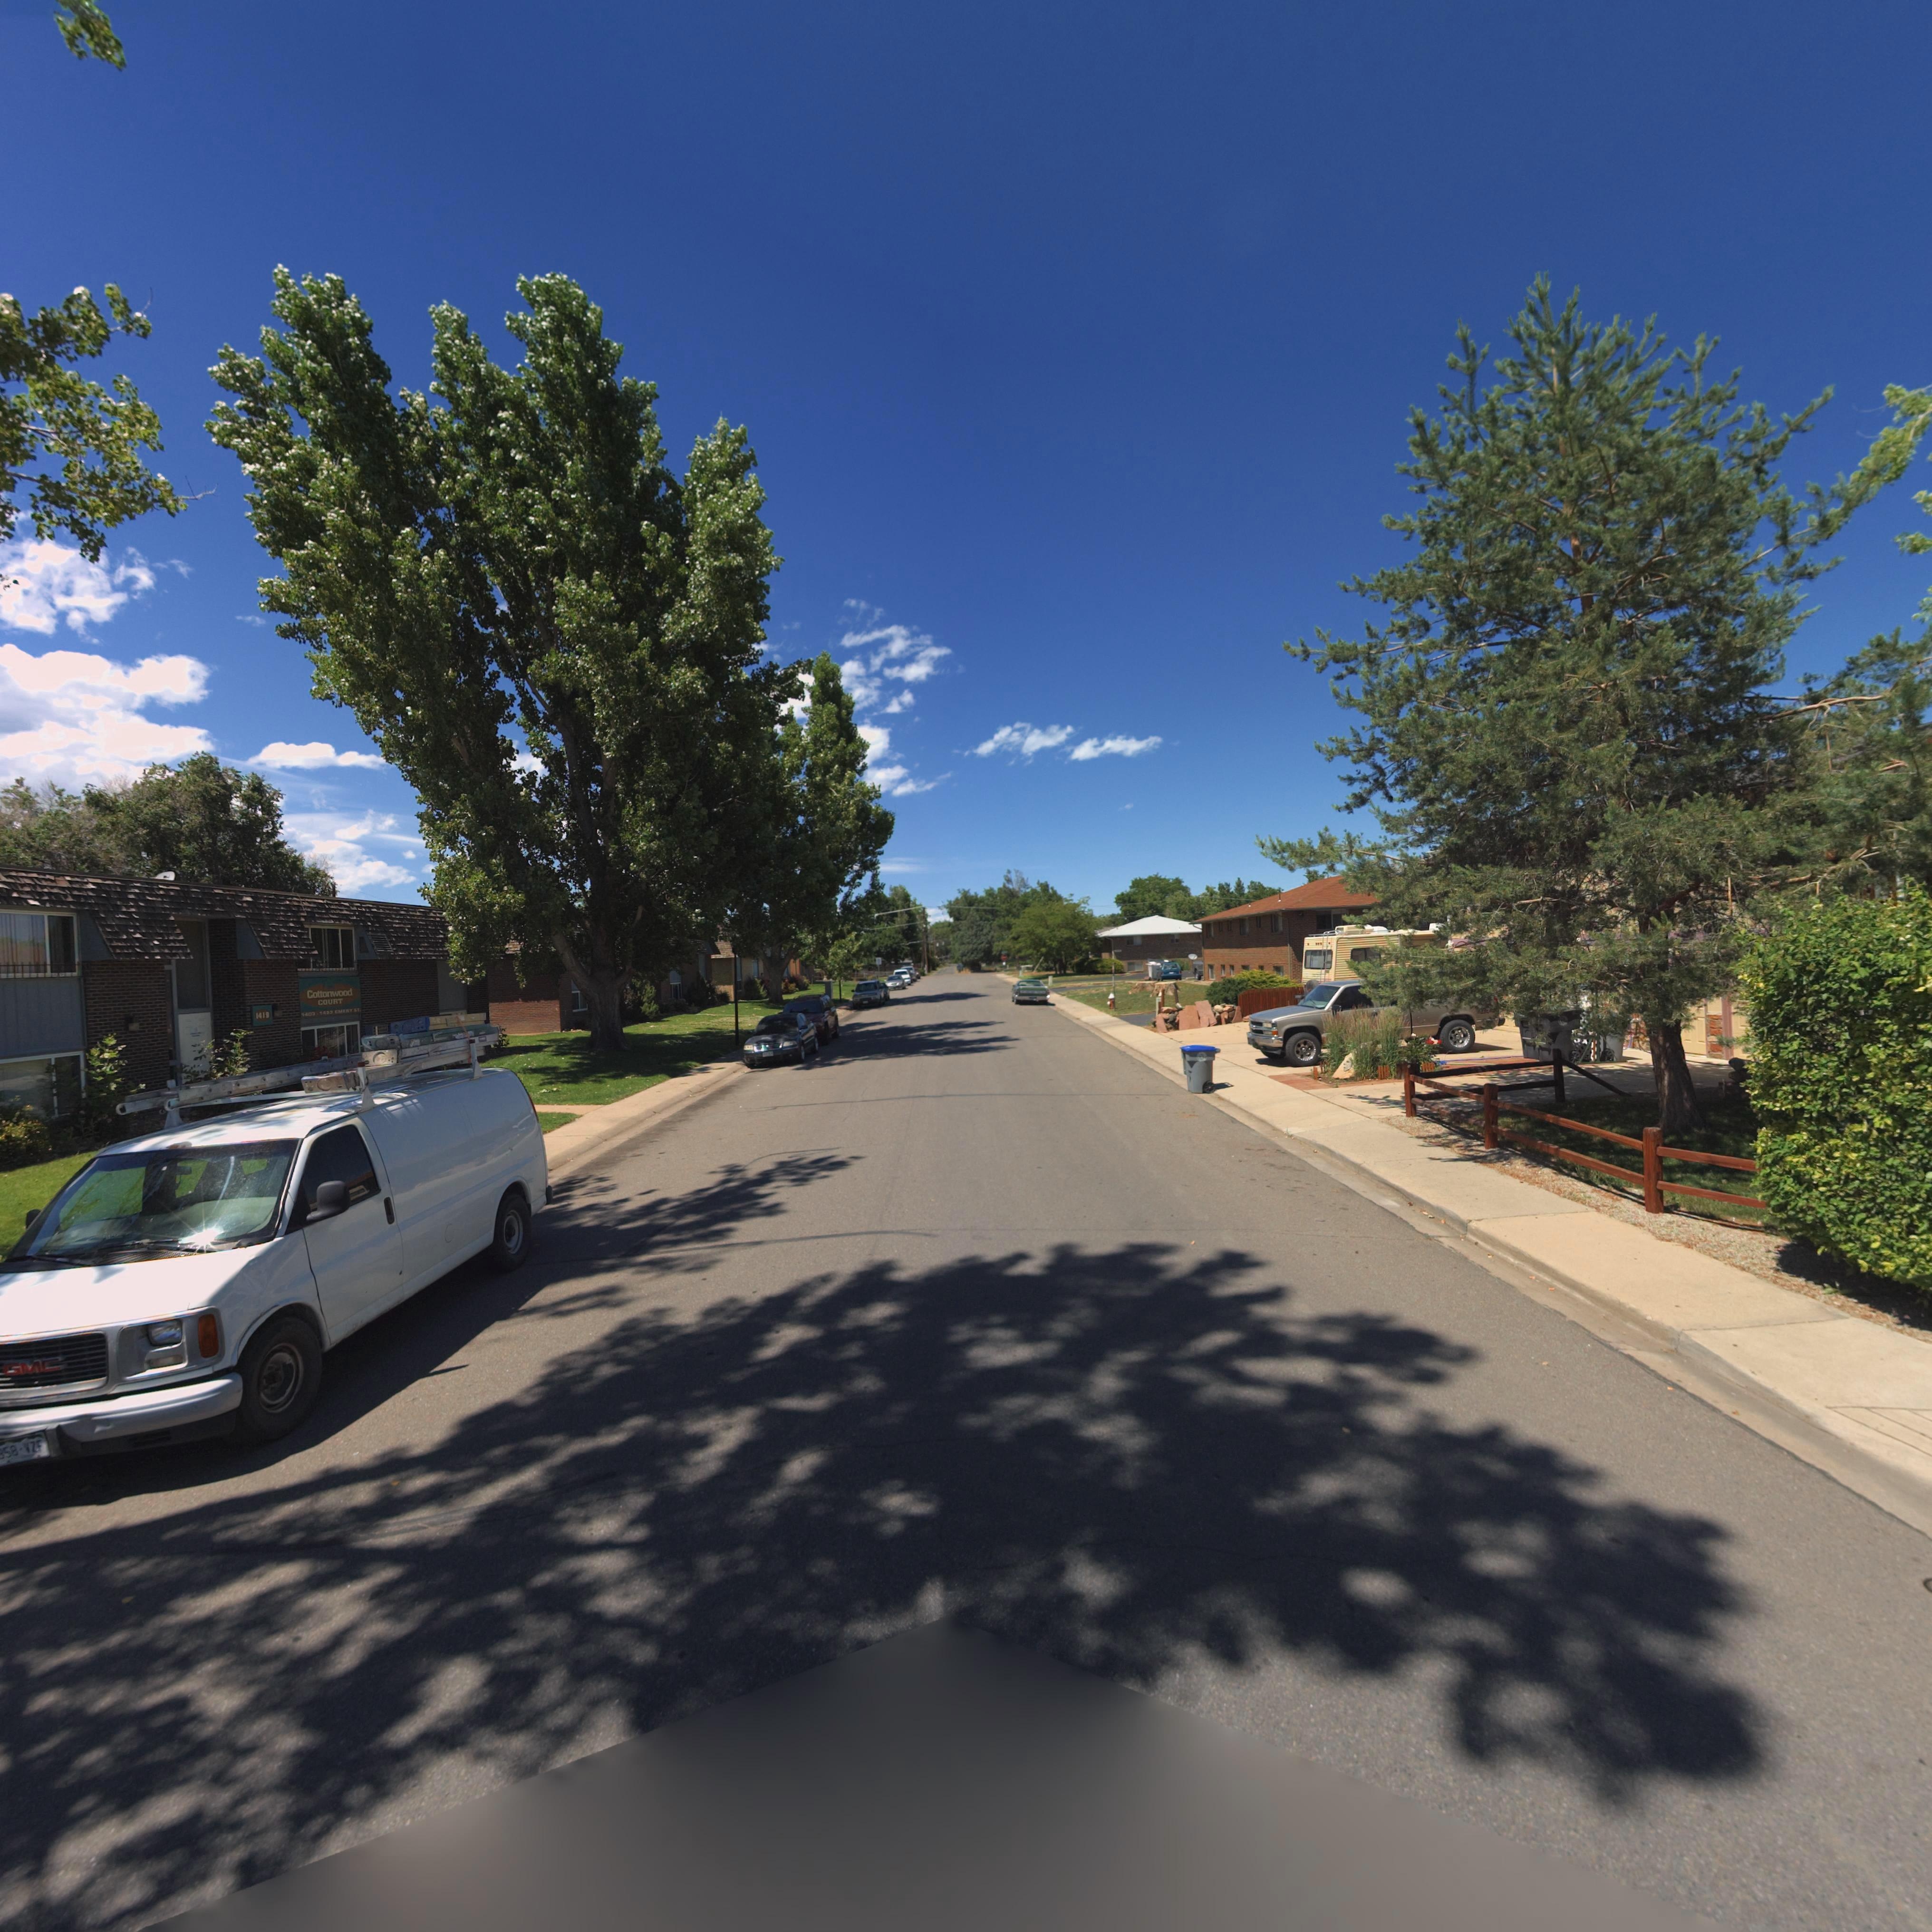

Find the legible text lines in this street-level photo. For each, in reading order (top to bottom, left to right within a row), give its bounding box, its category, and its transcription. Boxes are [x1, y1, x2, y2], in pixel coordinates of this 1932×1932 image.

[306, 987, 353, 999] BusinessName: Cottonwood
[317, 998, 343, 1006] BusinessName: COURT
[255, 1011, 269, 1019] StreetNumber: 1419
[301, 1010, 333, 1017] StreetNumberRange: 1403 - 1433
[334, 1007, 360, 1014] StreetName: EMERY ST